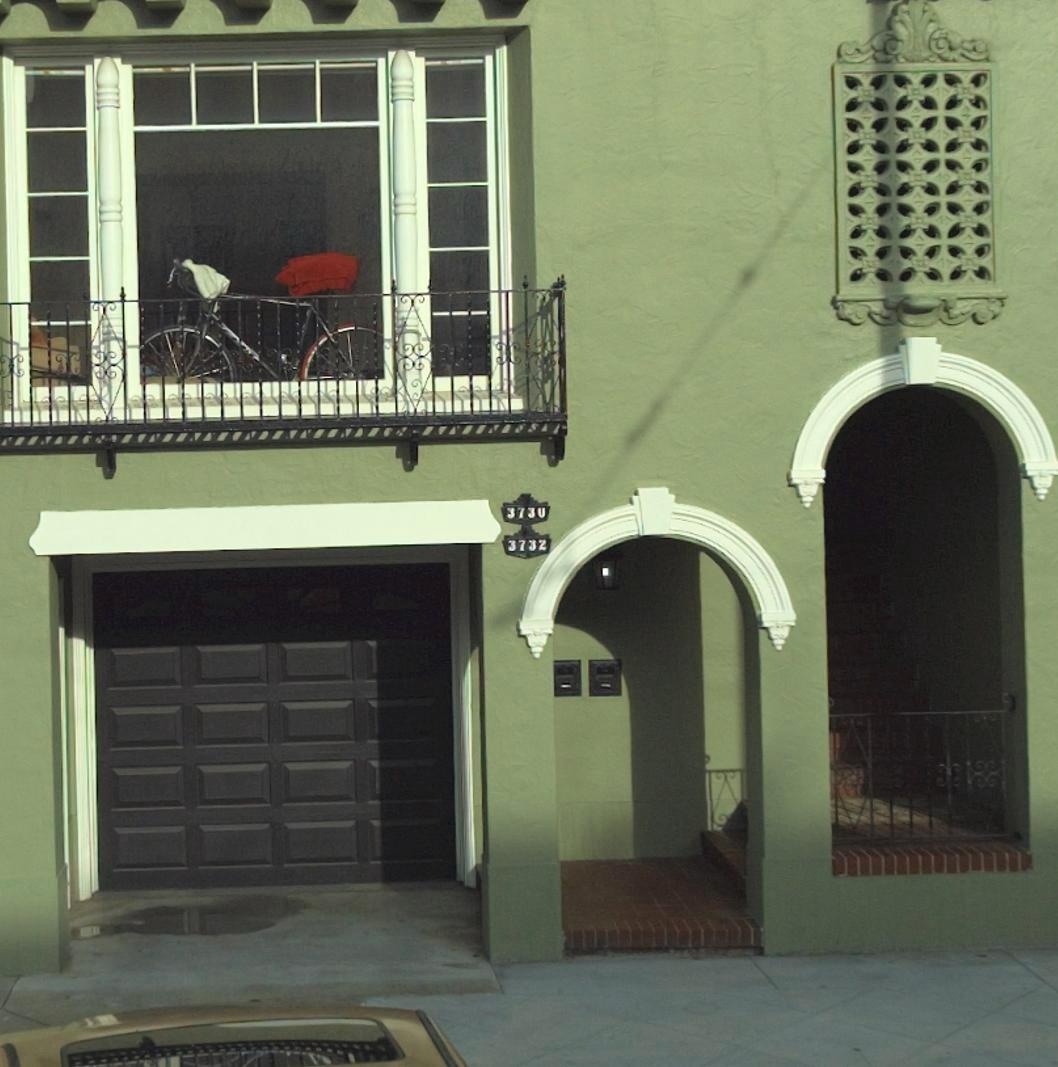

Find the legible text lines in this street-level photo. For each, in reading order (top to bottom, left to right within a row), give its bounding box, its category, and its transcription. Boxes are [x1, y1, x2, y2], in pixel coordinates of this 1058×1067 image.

[505, 505, 547, 521] StreetNumber: 3730
[506, 537, 549, 553] StreetNumber: 3732